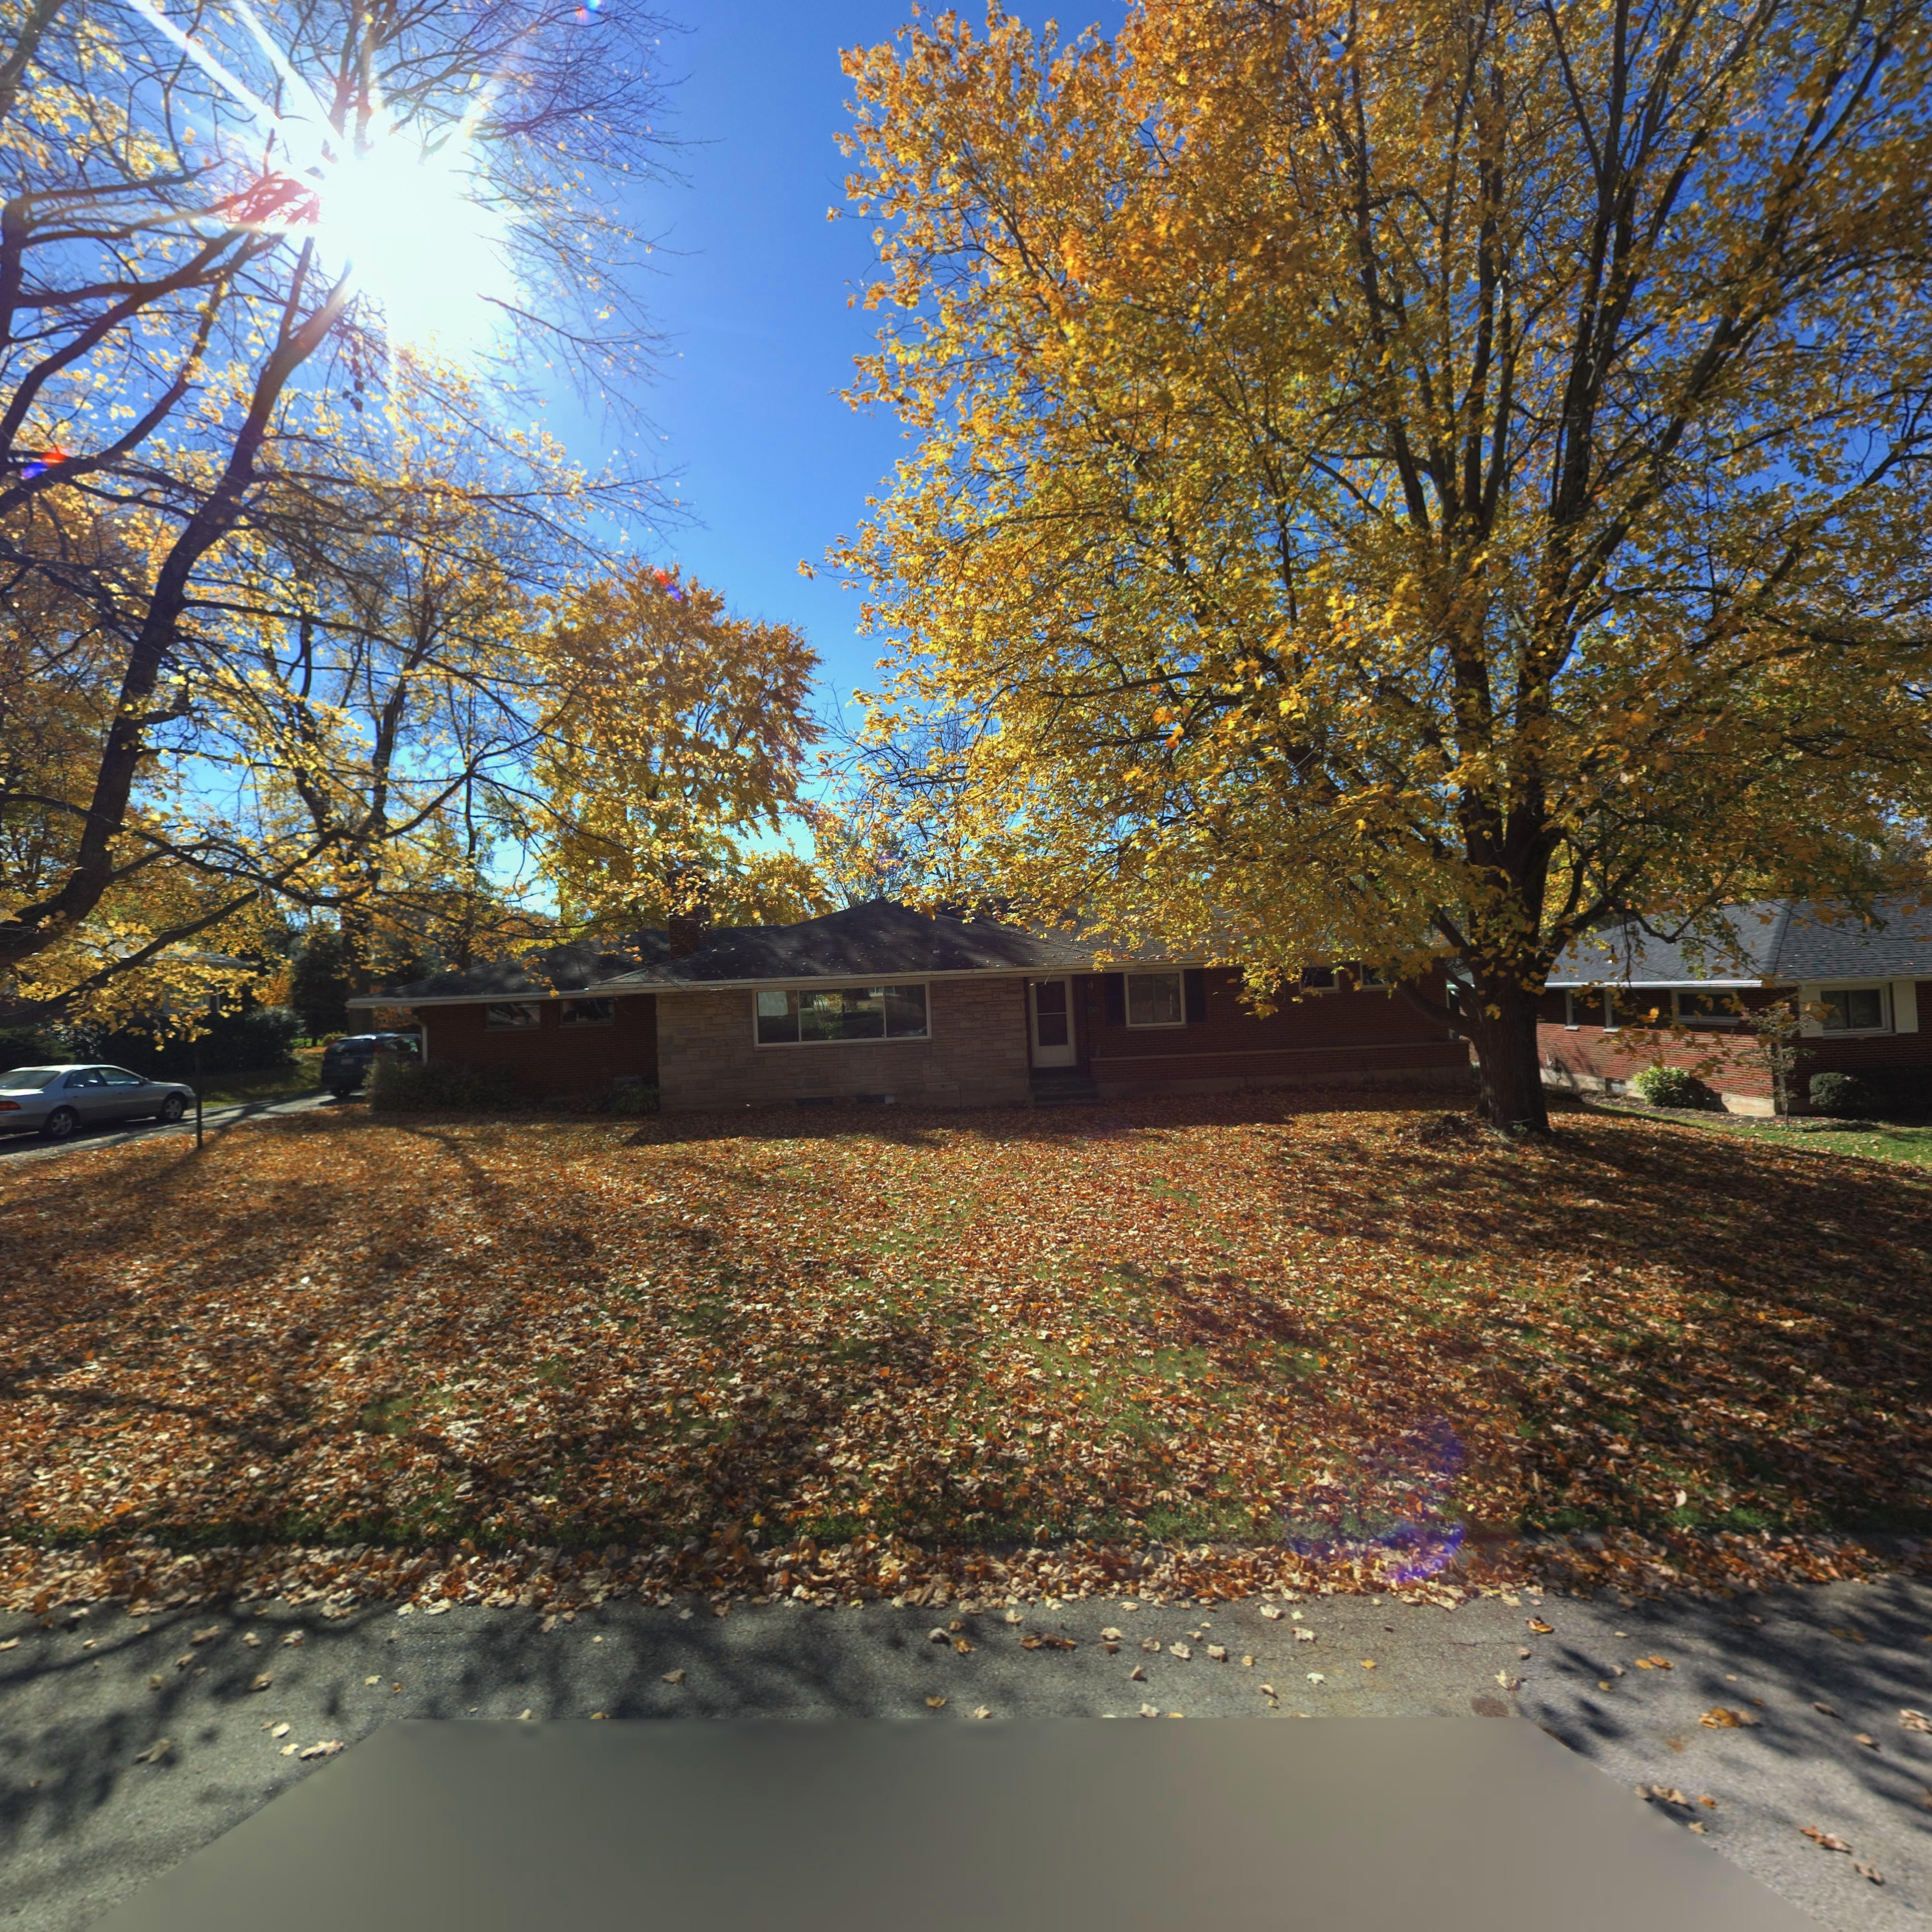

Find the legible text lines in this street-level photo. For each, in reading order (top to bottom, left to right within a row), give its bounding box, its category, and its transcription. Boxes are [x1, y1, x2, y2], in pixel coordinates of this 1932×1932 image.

[1086, 1006, 1098, 1014] StreetNumber: 130